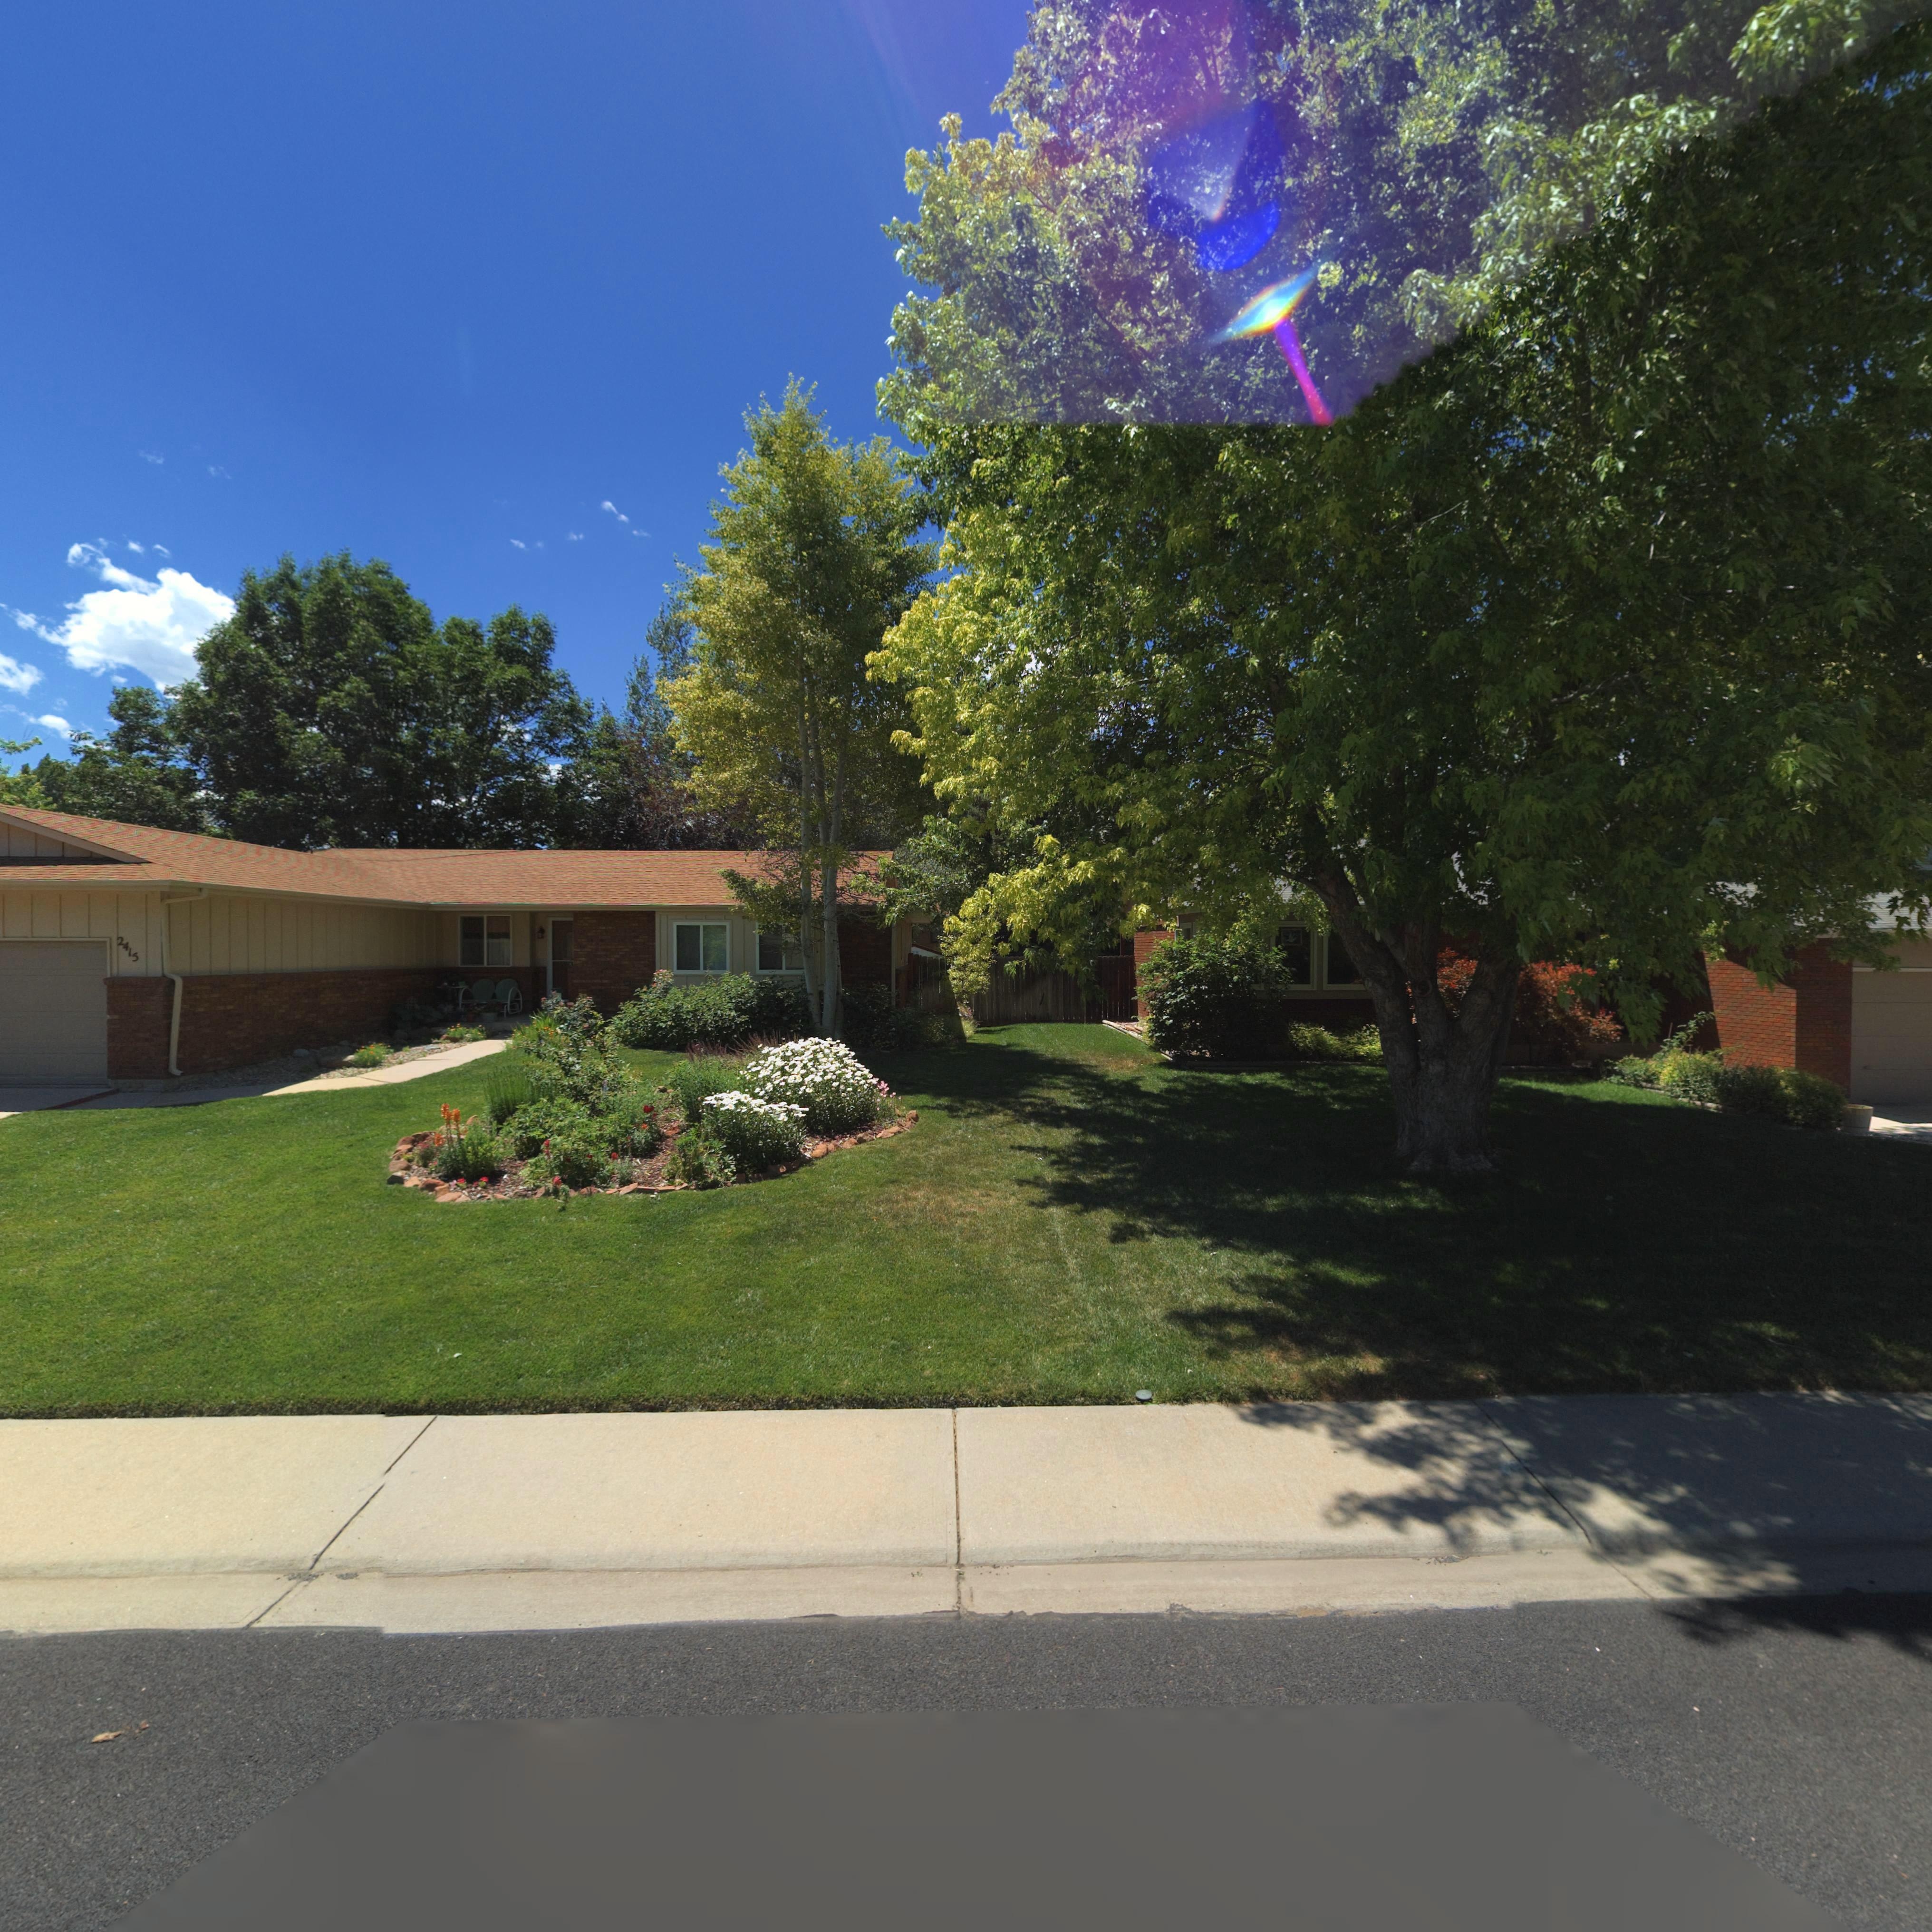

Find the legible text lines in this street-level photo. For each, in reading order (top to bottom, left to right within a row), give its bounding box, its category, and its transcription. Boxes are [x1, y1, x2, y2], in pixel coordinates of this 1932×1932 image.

[116, 936, 139, 962] StreetNumber: 2415